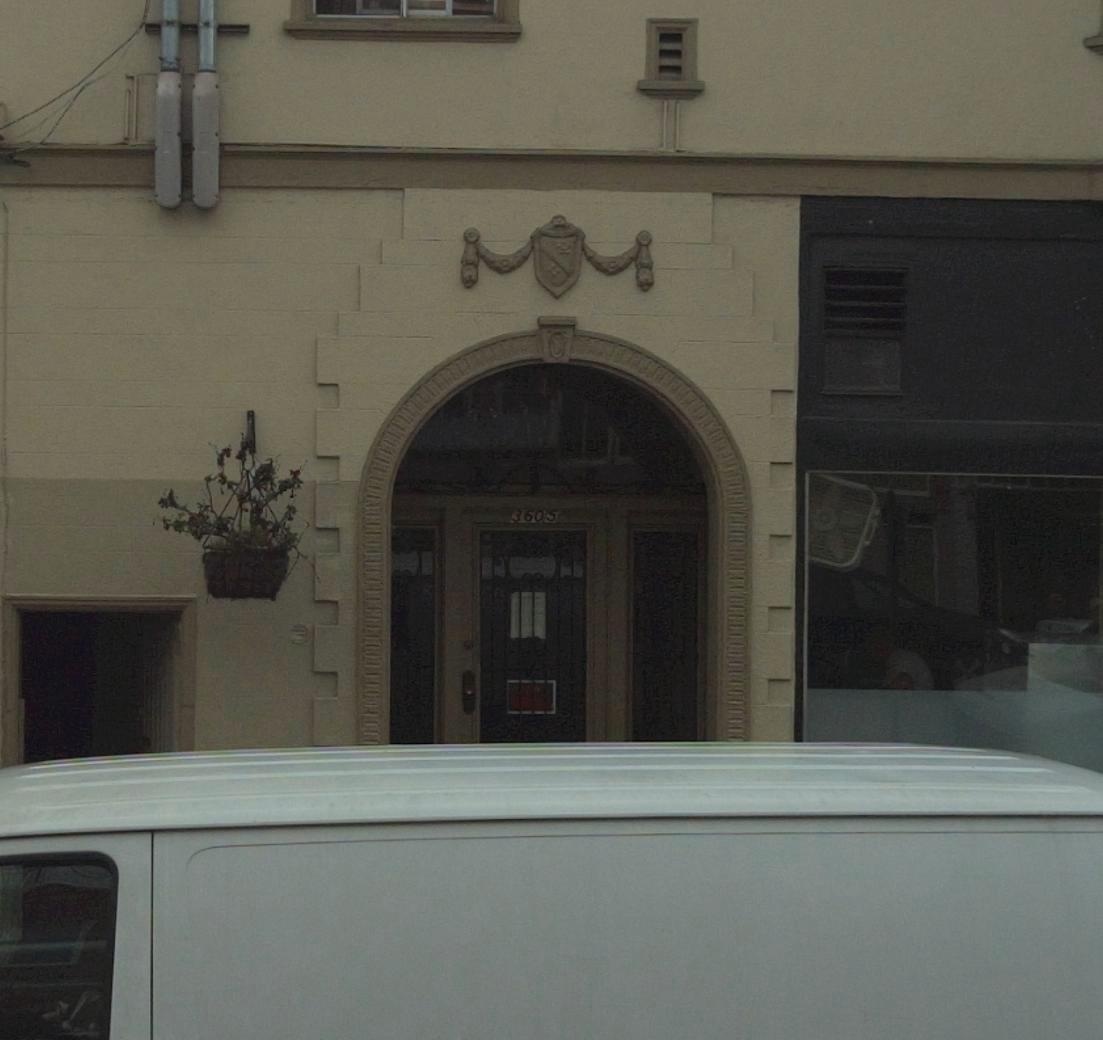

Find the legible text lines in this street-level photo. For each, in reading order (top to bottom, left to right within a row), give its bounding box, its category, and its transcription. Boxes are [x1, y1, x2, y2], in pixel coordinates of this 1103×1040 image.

[509, 509, 560, 523] StreetNumber: 3605